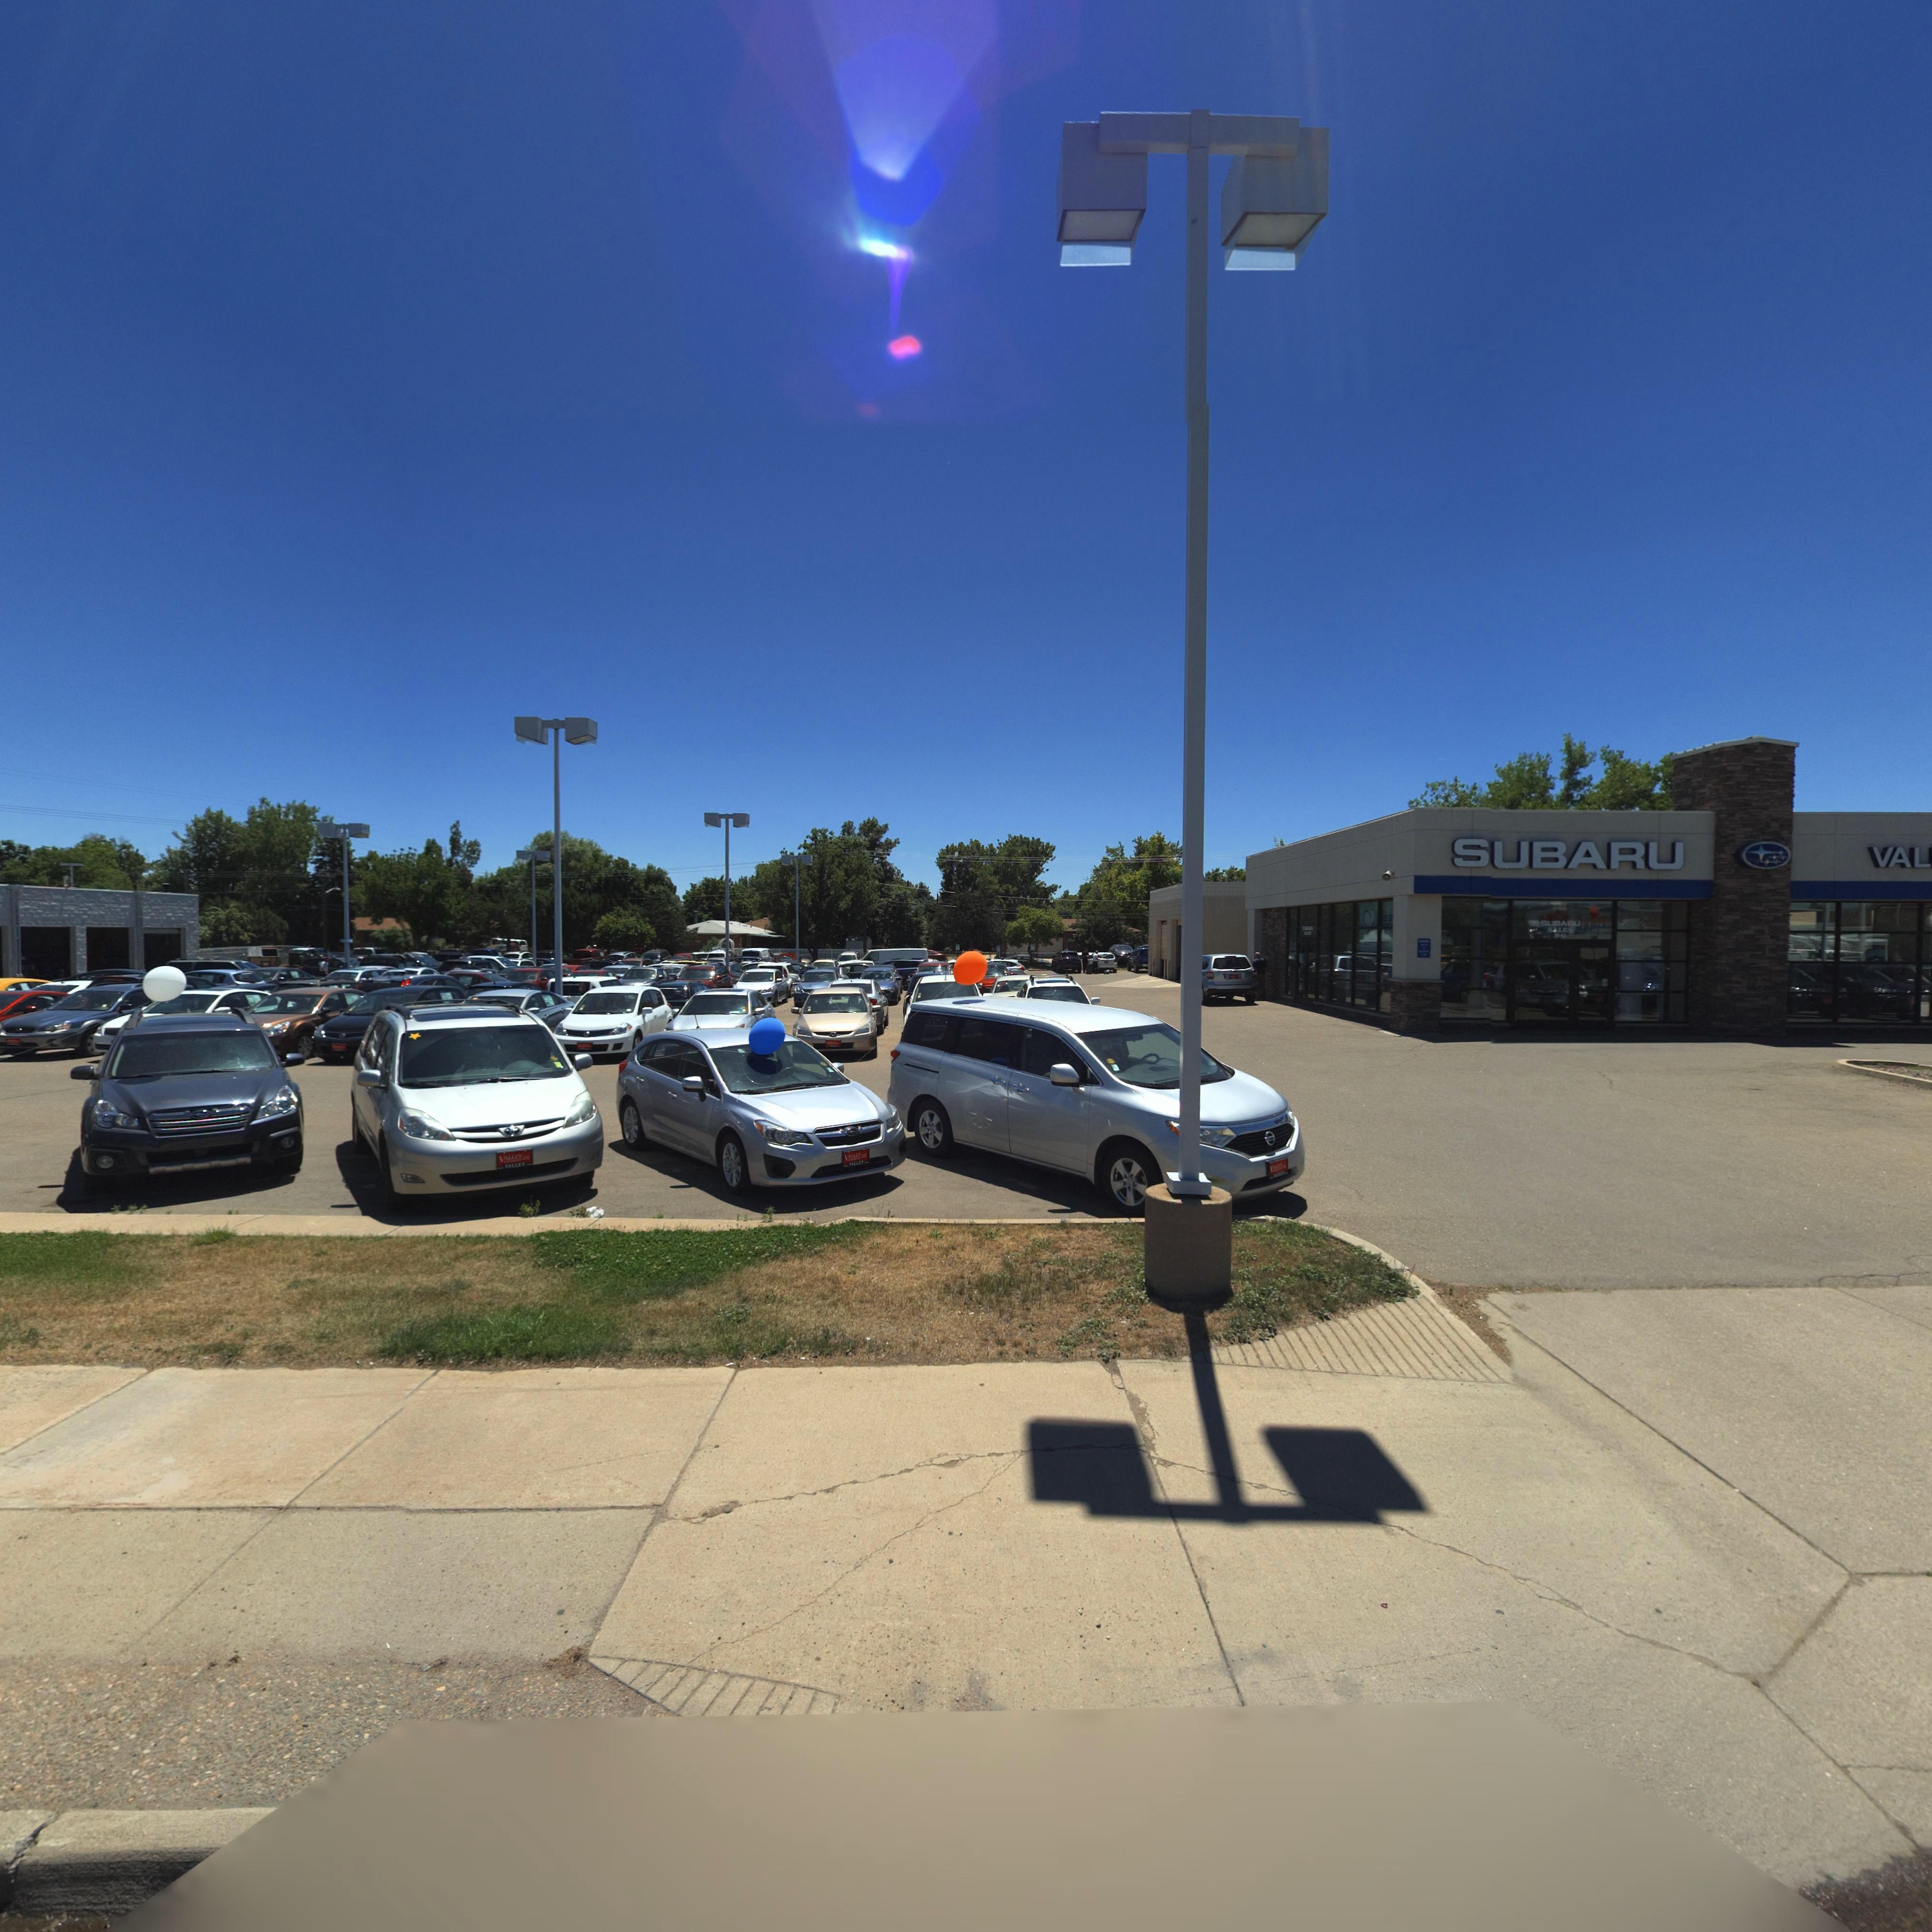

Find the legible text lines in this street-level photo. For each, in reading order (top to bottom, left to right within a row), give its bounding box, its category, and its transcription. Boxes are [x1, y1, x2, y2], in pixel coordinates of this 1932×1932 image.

[1451, 837, 1685, 871] BusinessName: SUBARU
[1867, 846, 1932, 868] BusinessName: VAL
[1547, 927, 1573, 933] BusinessName: SALES
[1540, 920, 1581, 927] BusinessName: SUBARU